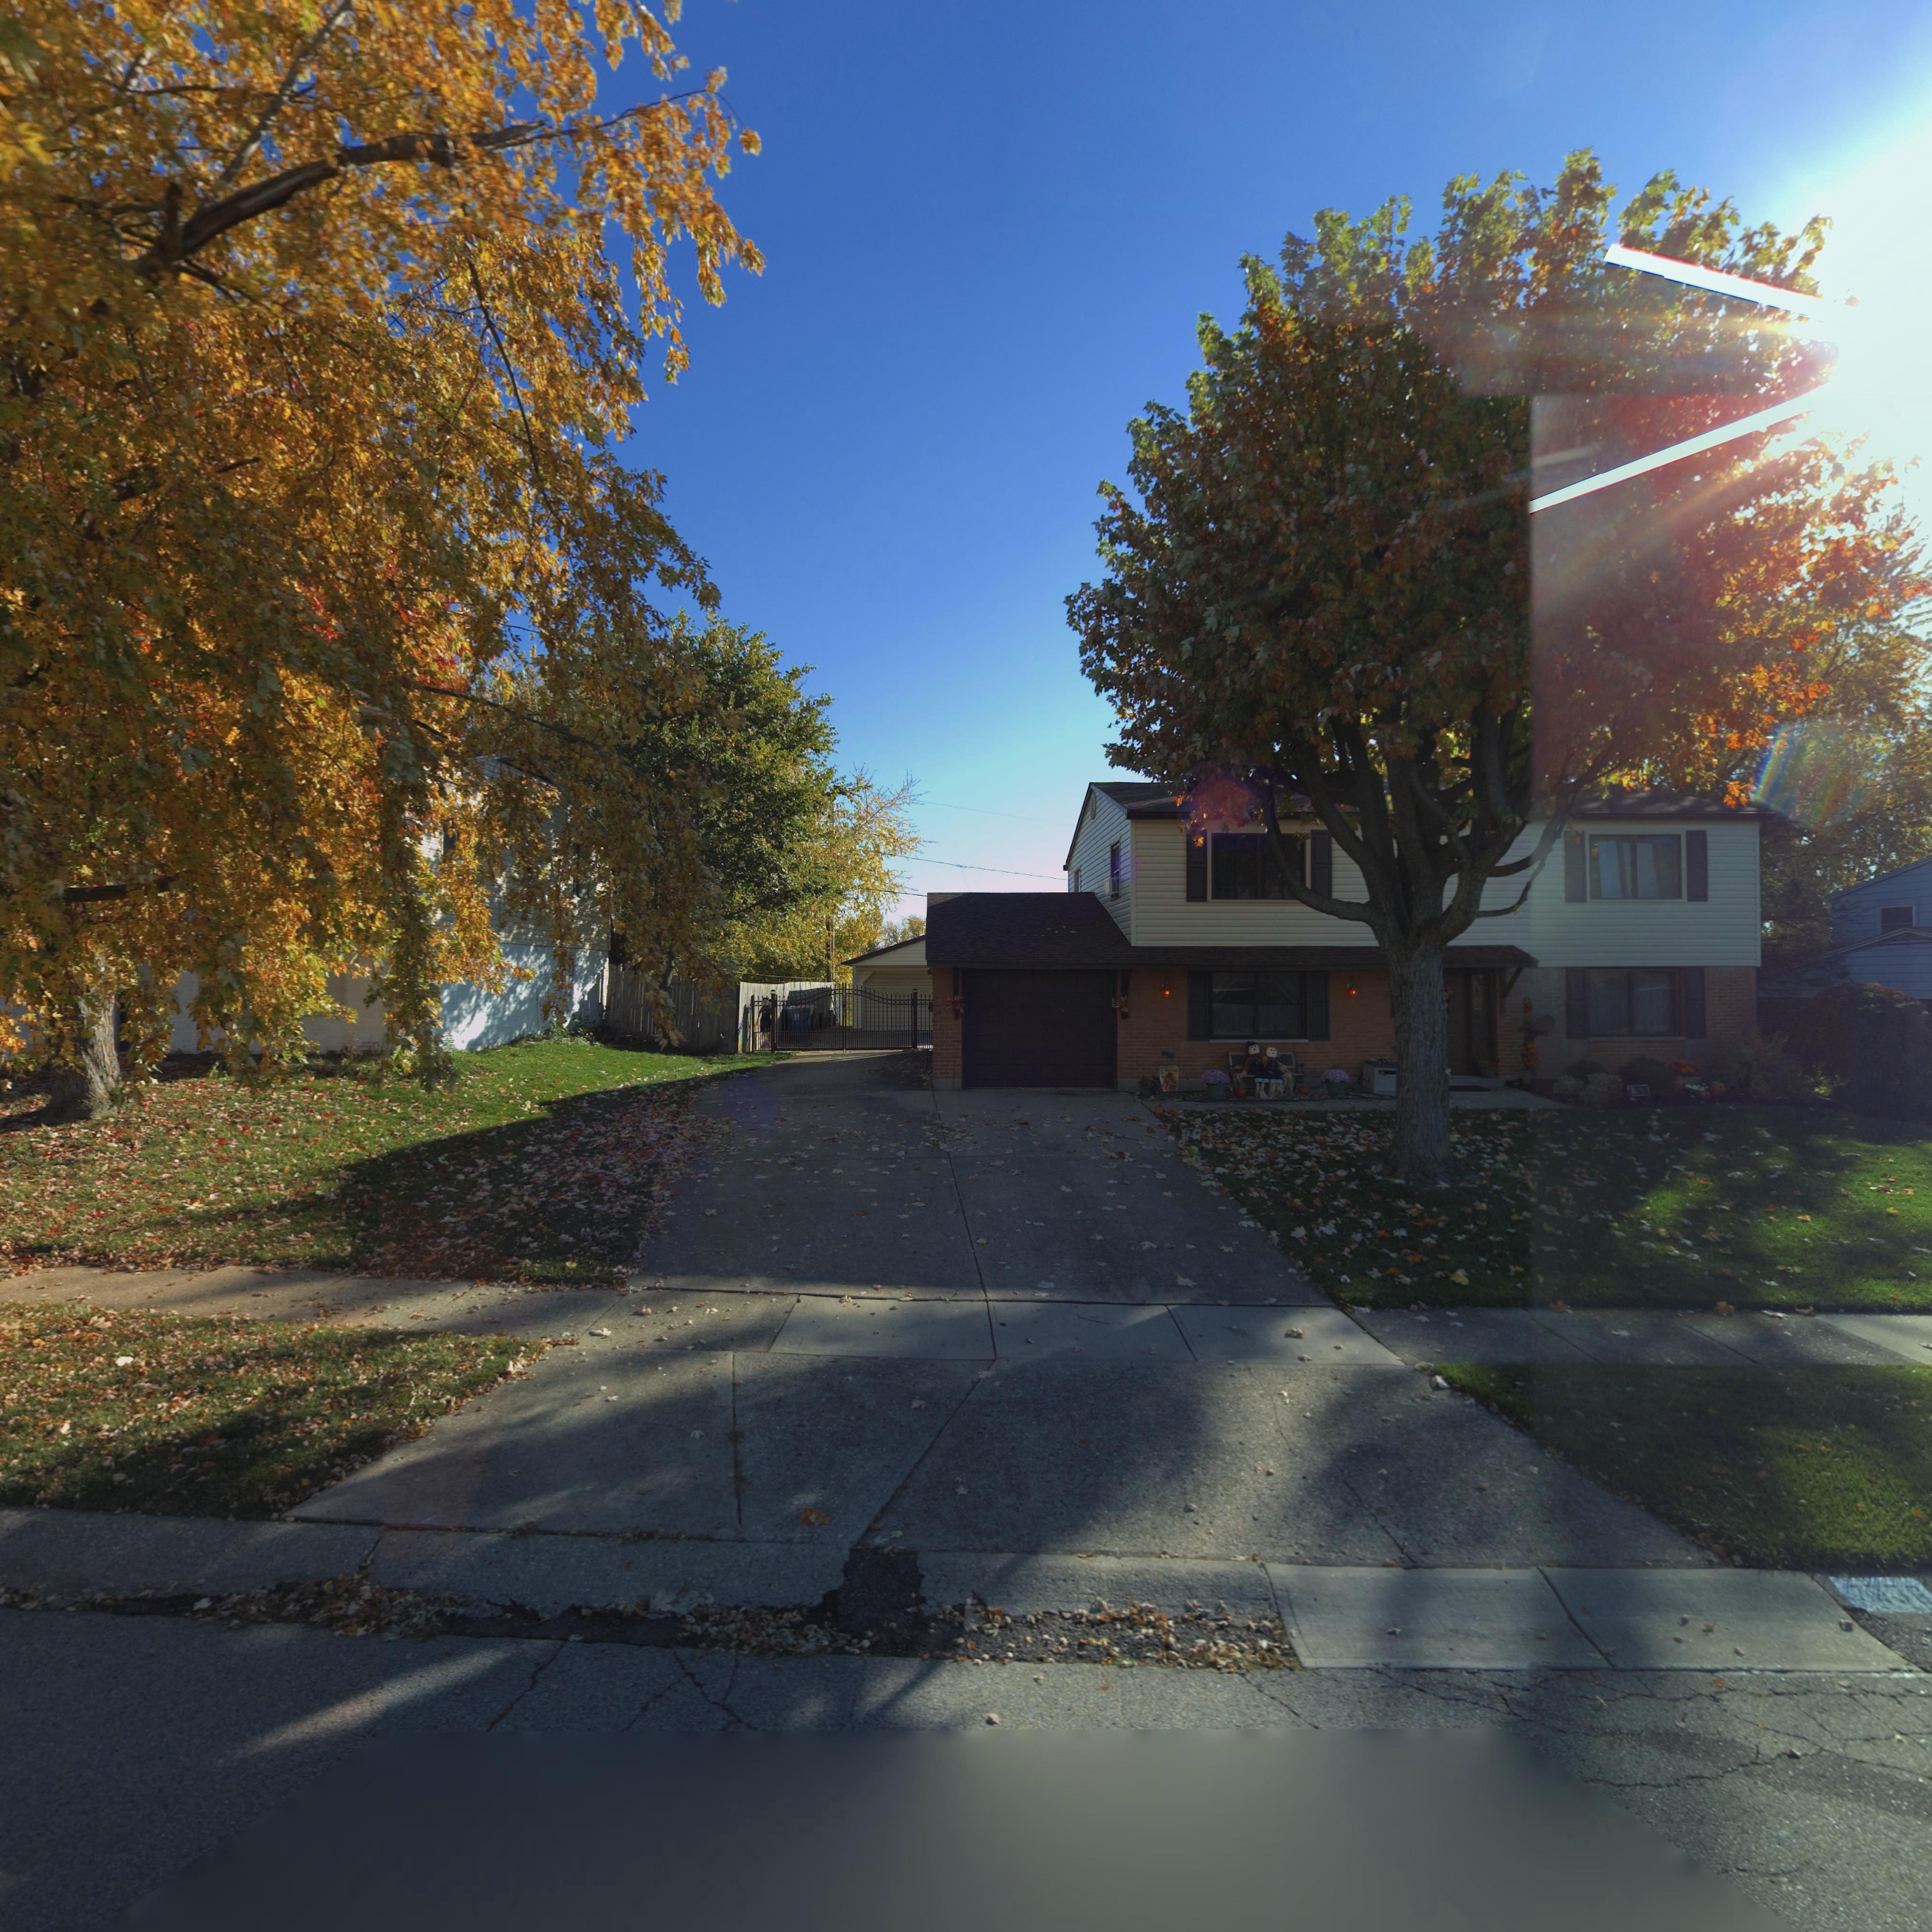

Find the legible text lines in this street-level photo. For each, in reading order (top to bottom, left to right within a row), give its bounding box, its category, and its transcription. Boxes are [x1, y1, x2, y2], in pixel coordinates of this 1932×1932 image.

[1632, 1085, 1649, 1095] StreetNumber: 7*36
[1844, 1583, 1932, 1604] StreetNumber: 7*36